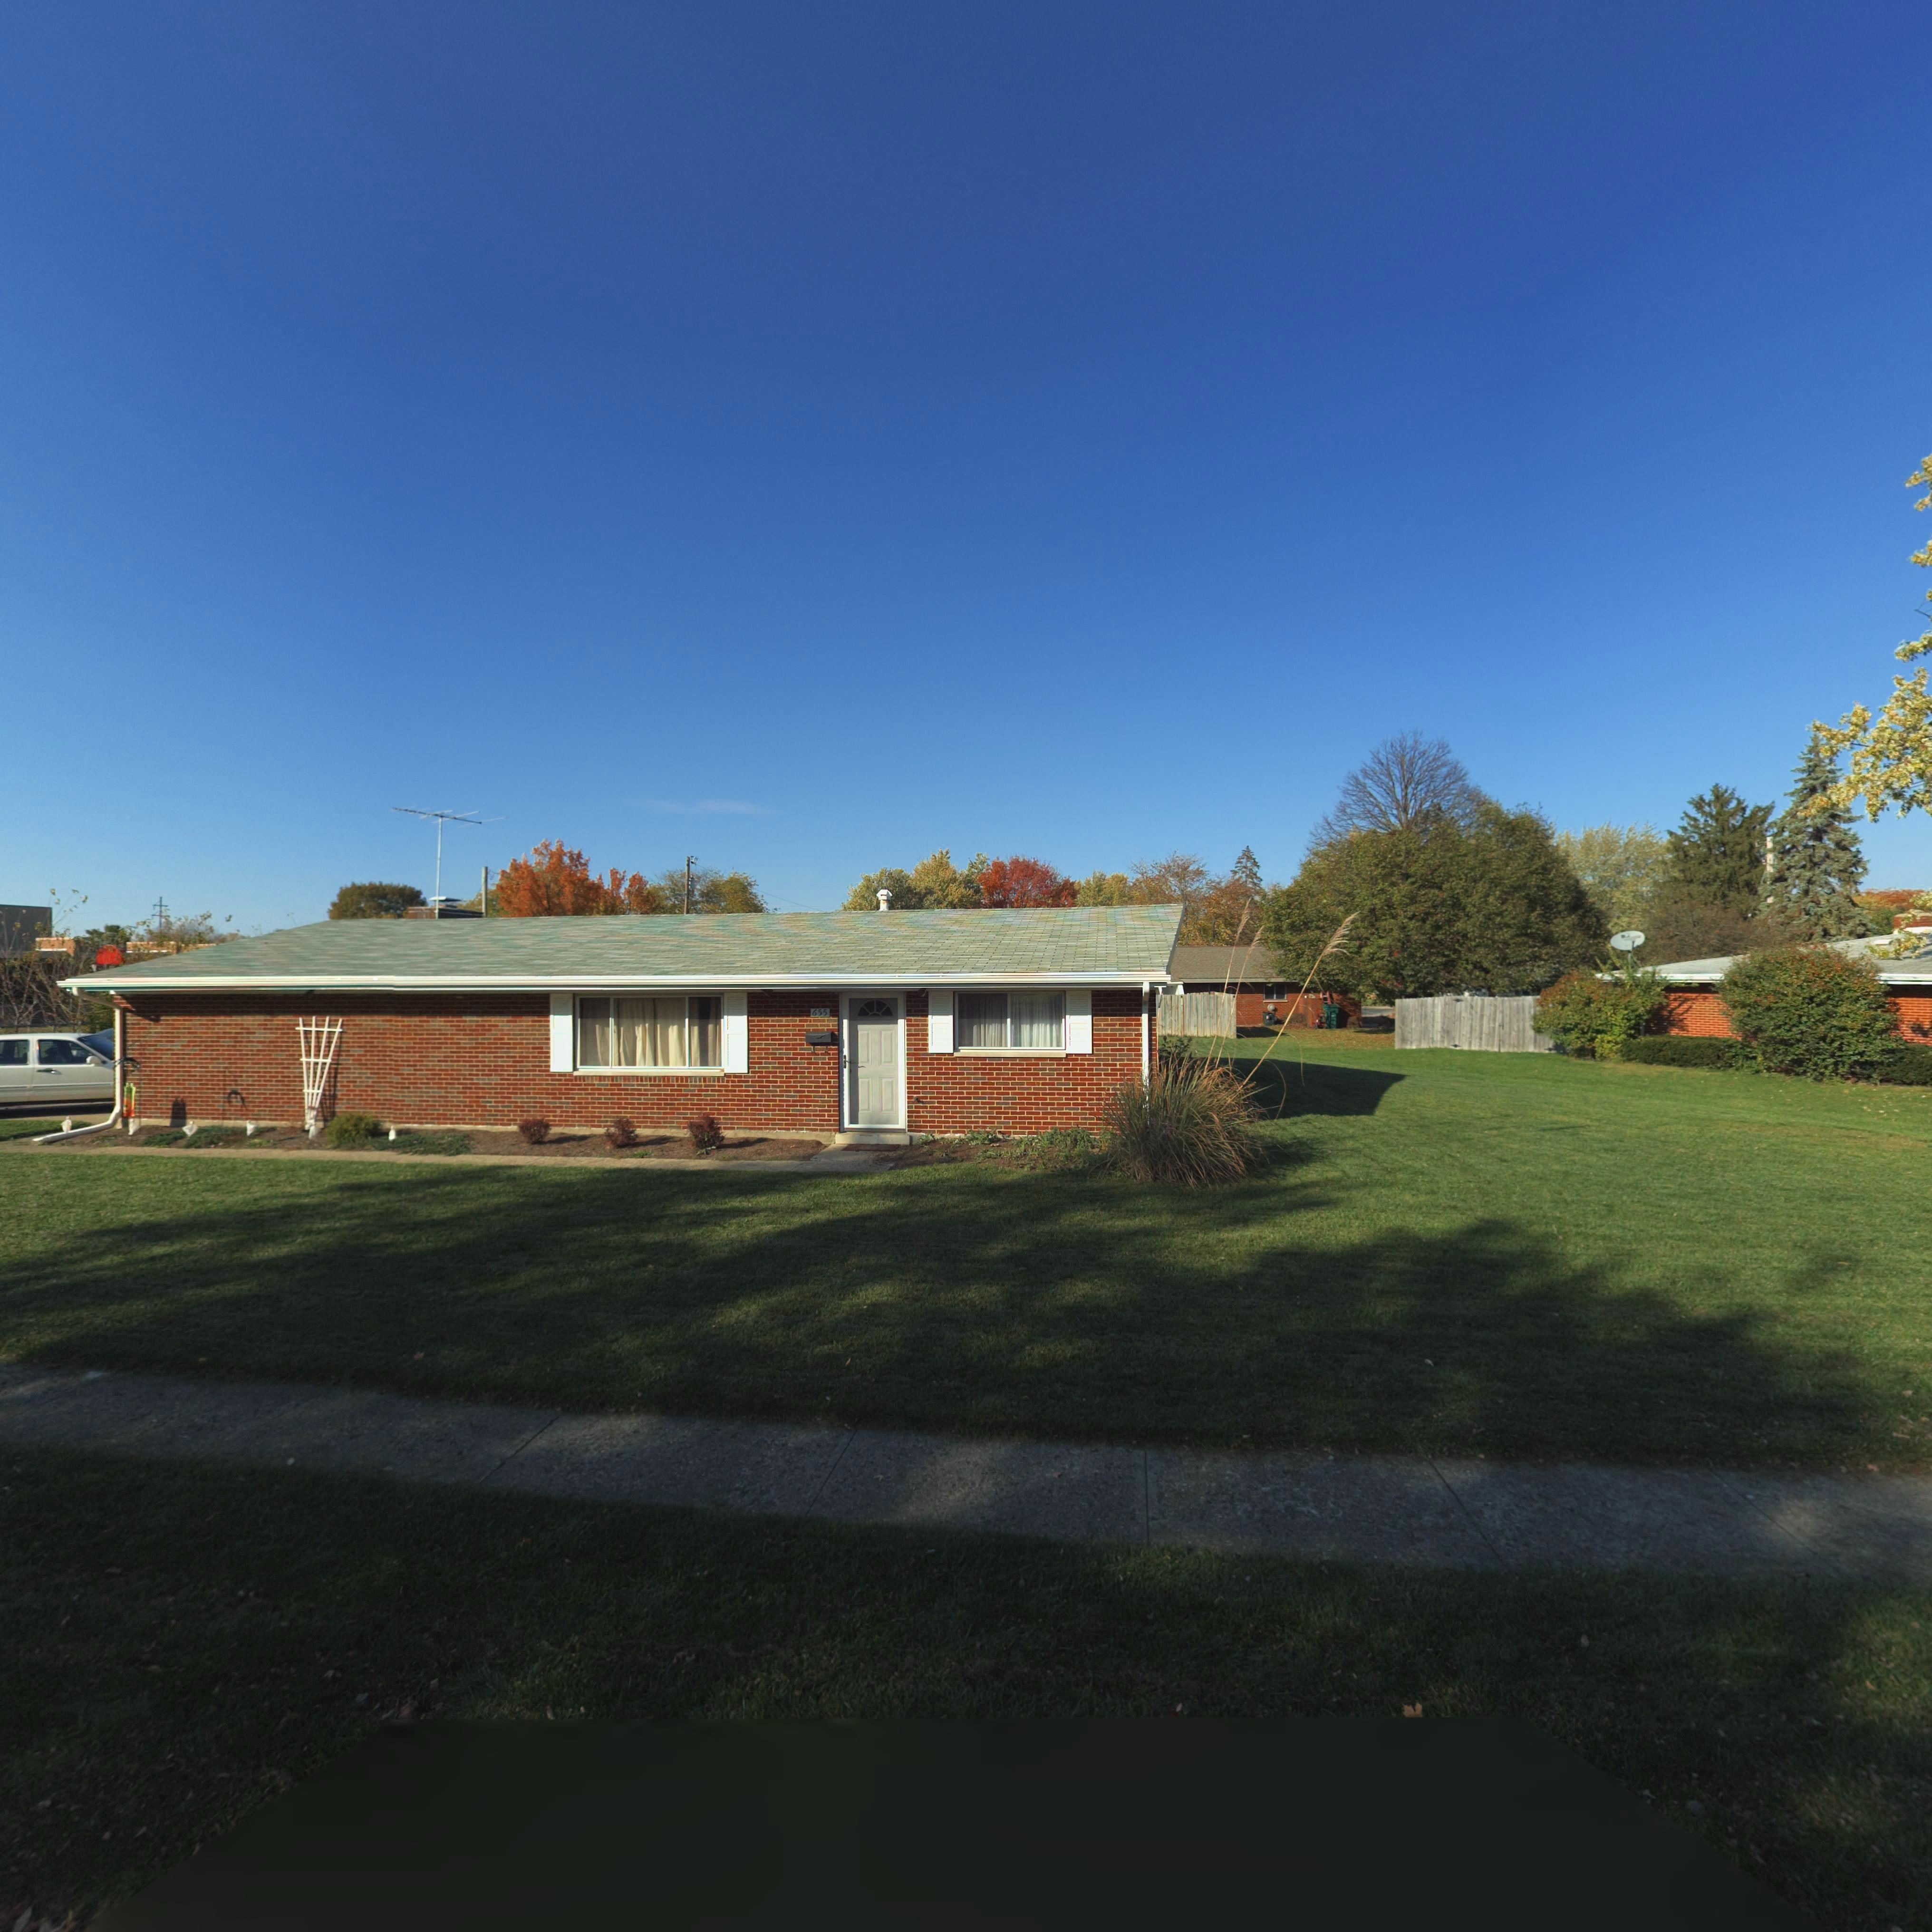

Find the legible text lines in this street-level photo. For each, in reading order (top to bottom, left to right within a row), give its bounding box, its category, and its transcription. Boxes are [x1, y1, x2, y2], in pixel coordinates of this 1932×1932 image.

[811, 1008, 828, 1016] StreetNumber: 655